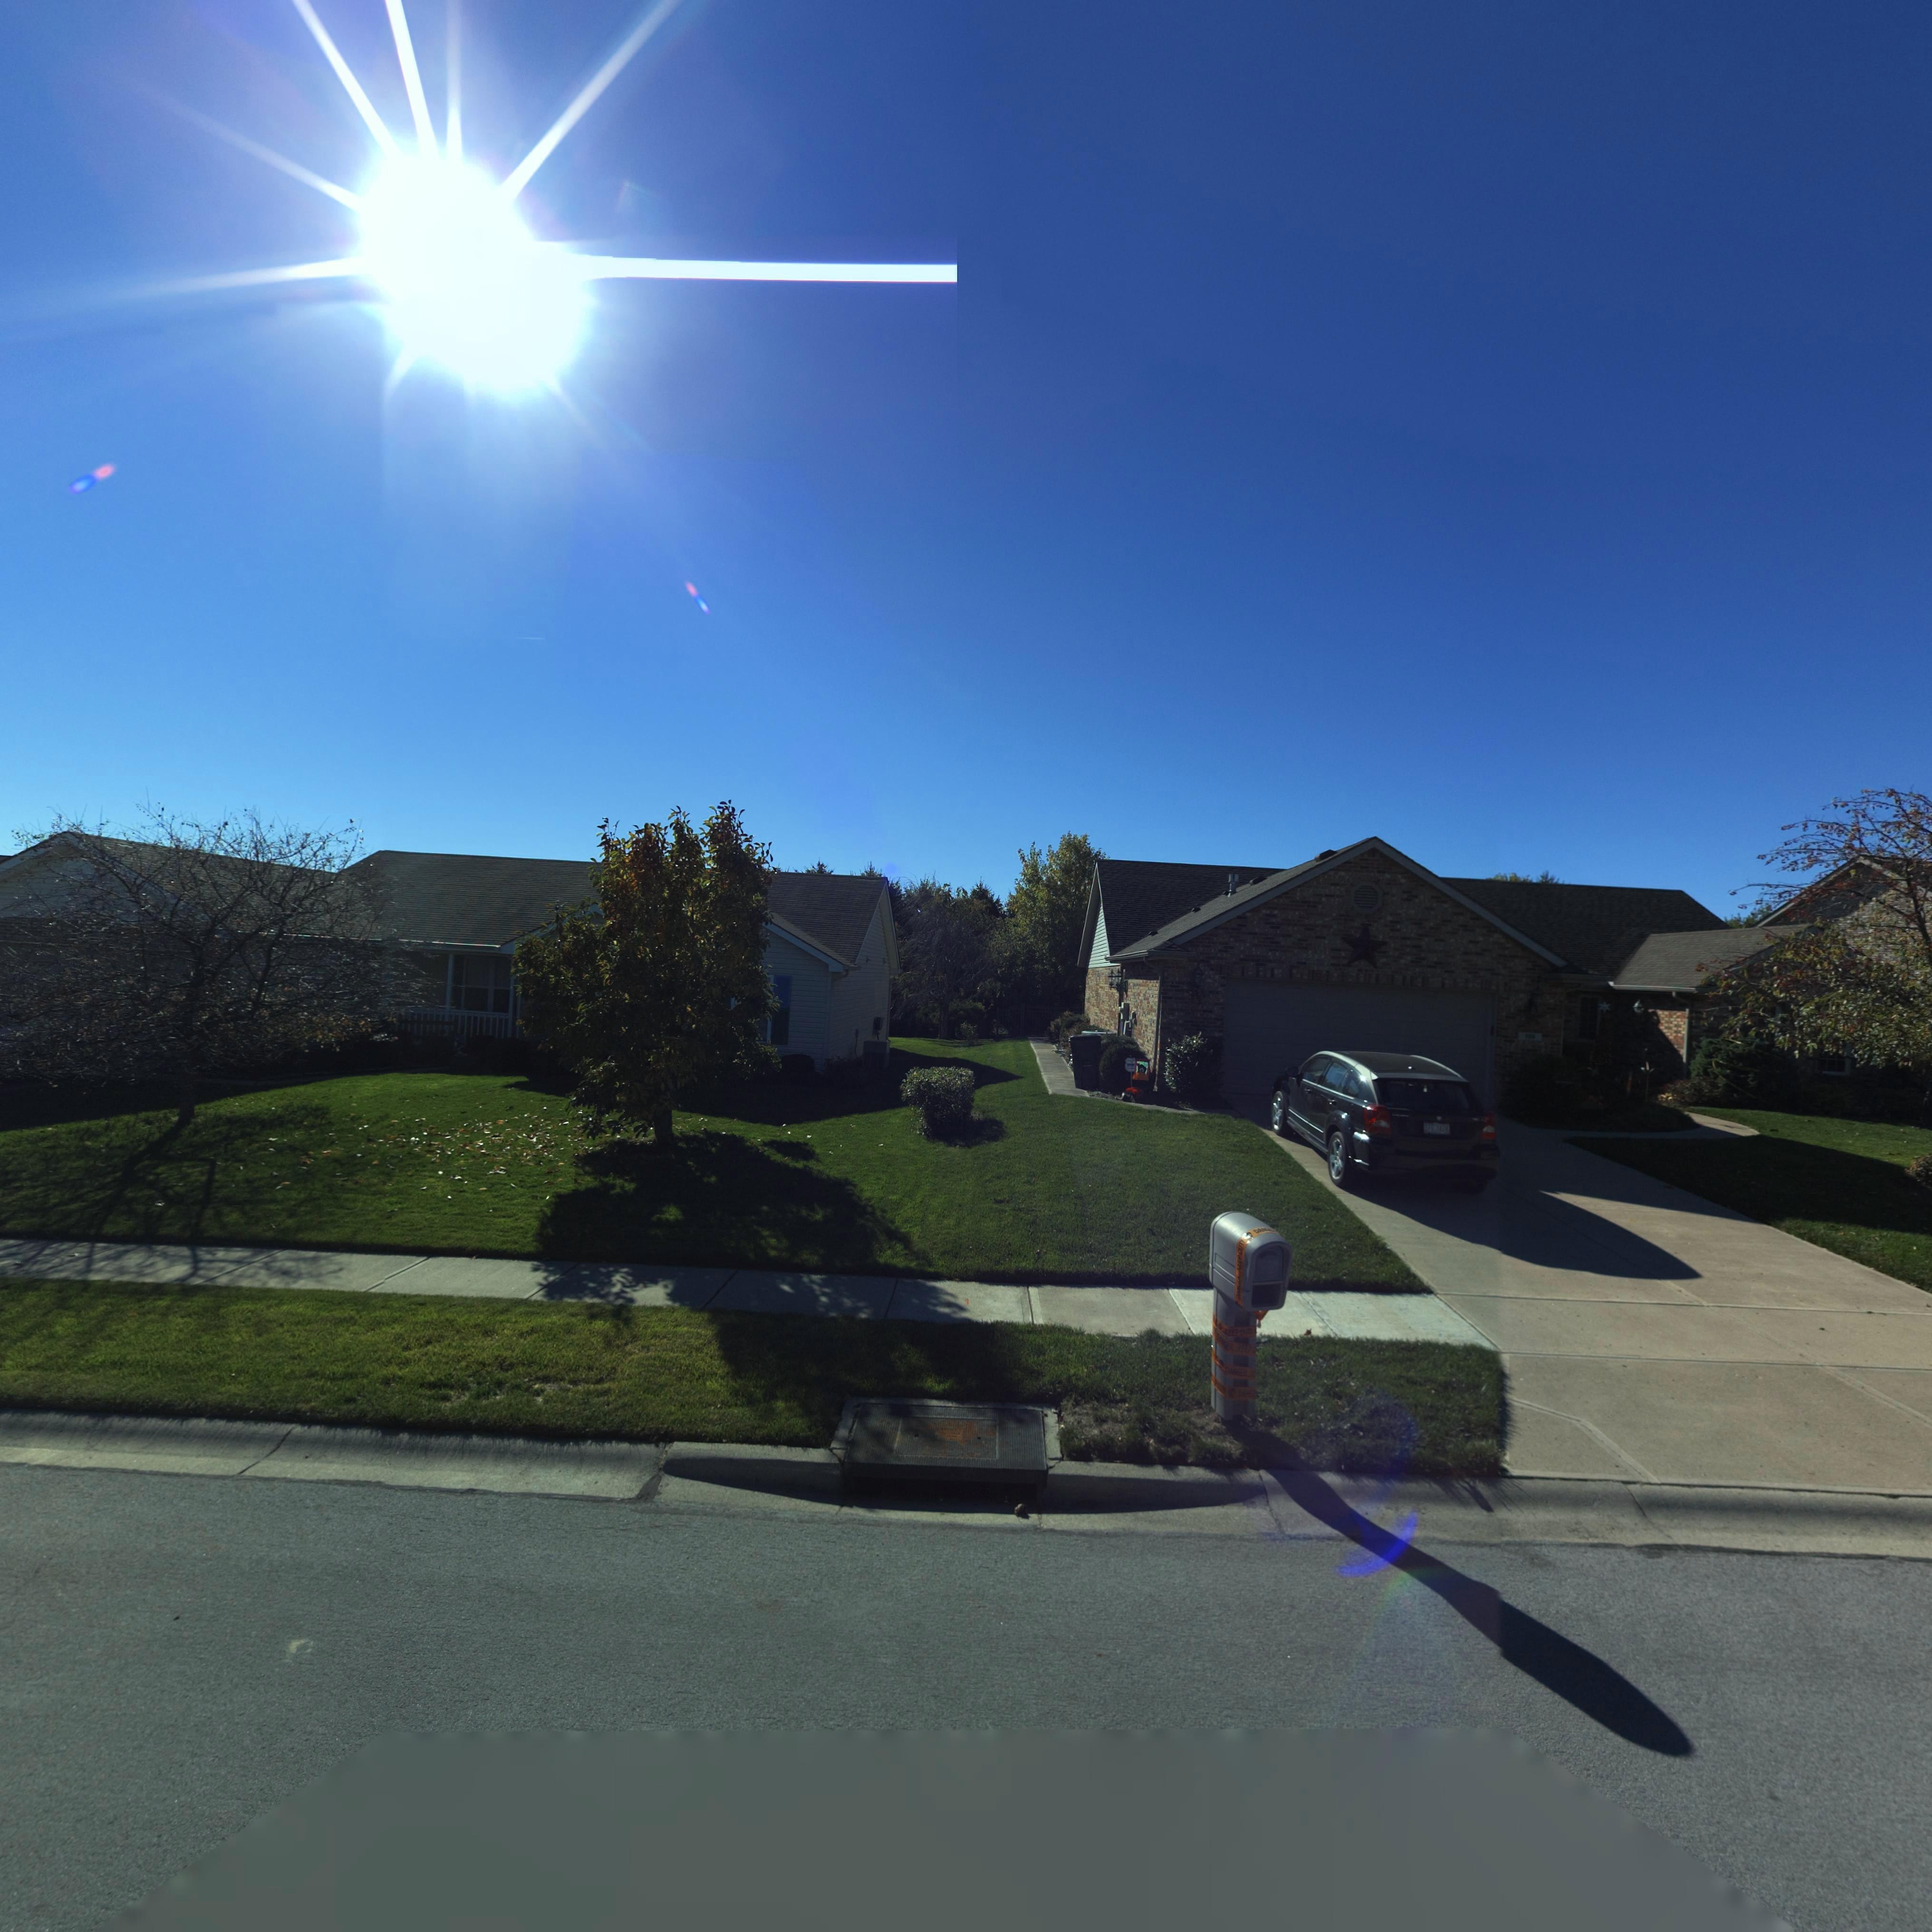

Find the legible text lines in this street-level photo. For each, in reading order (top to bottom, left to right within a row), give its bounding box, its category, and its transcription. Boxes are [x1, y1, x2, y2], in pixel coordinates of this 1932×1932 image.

[1524, 1034, 1536, 1040] StreetNumber: **9